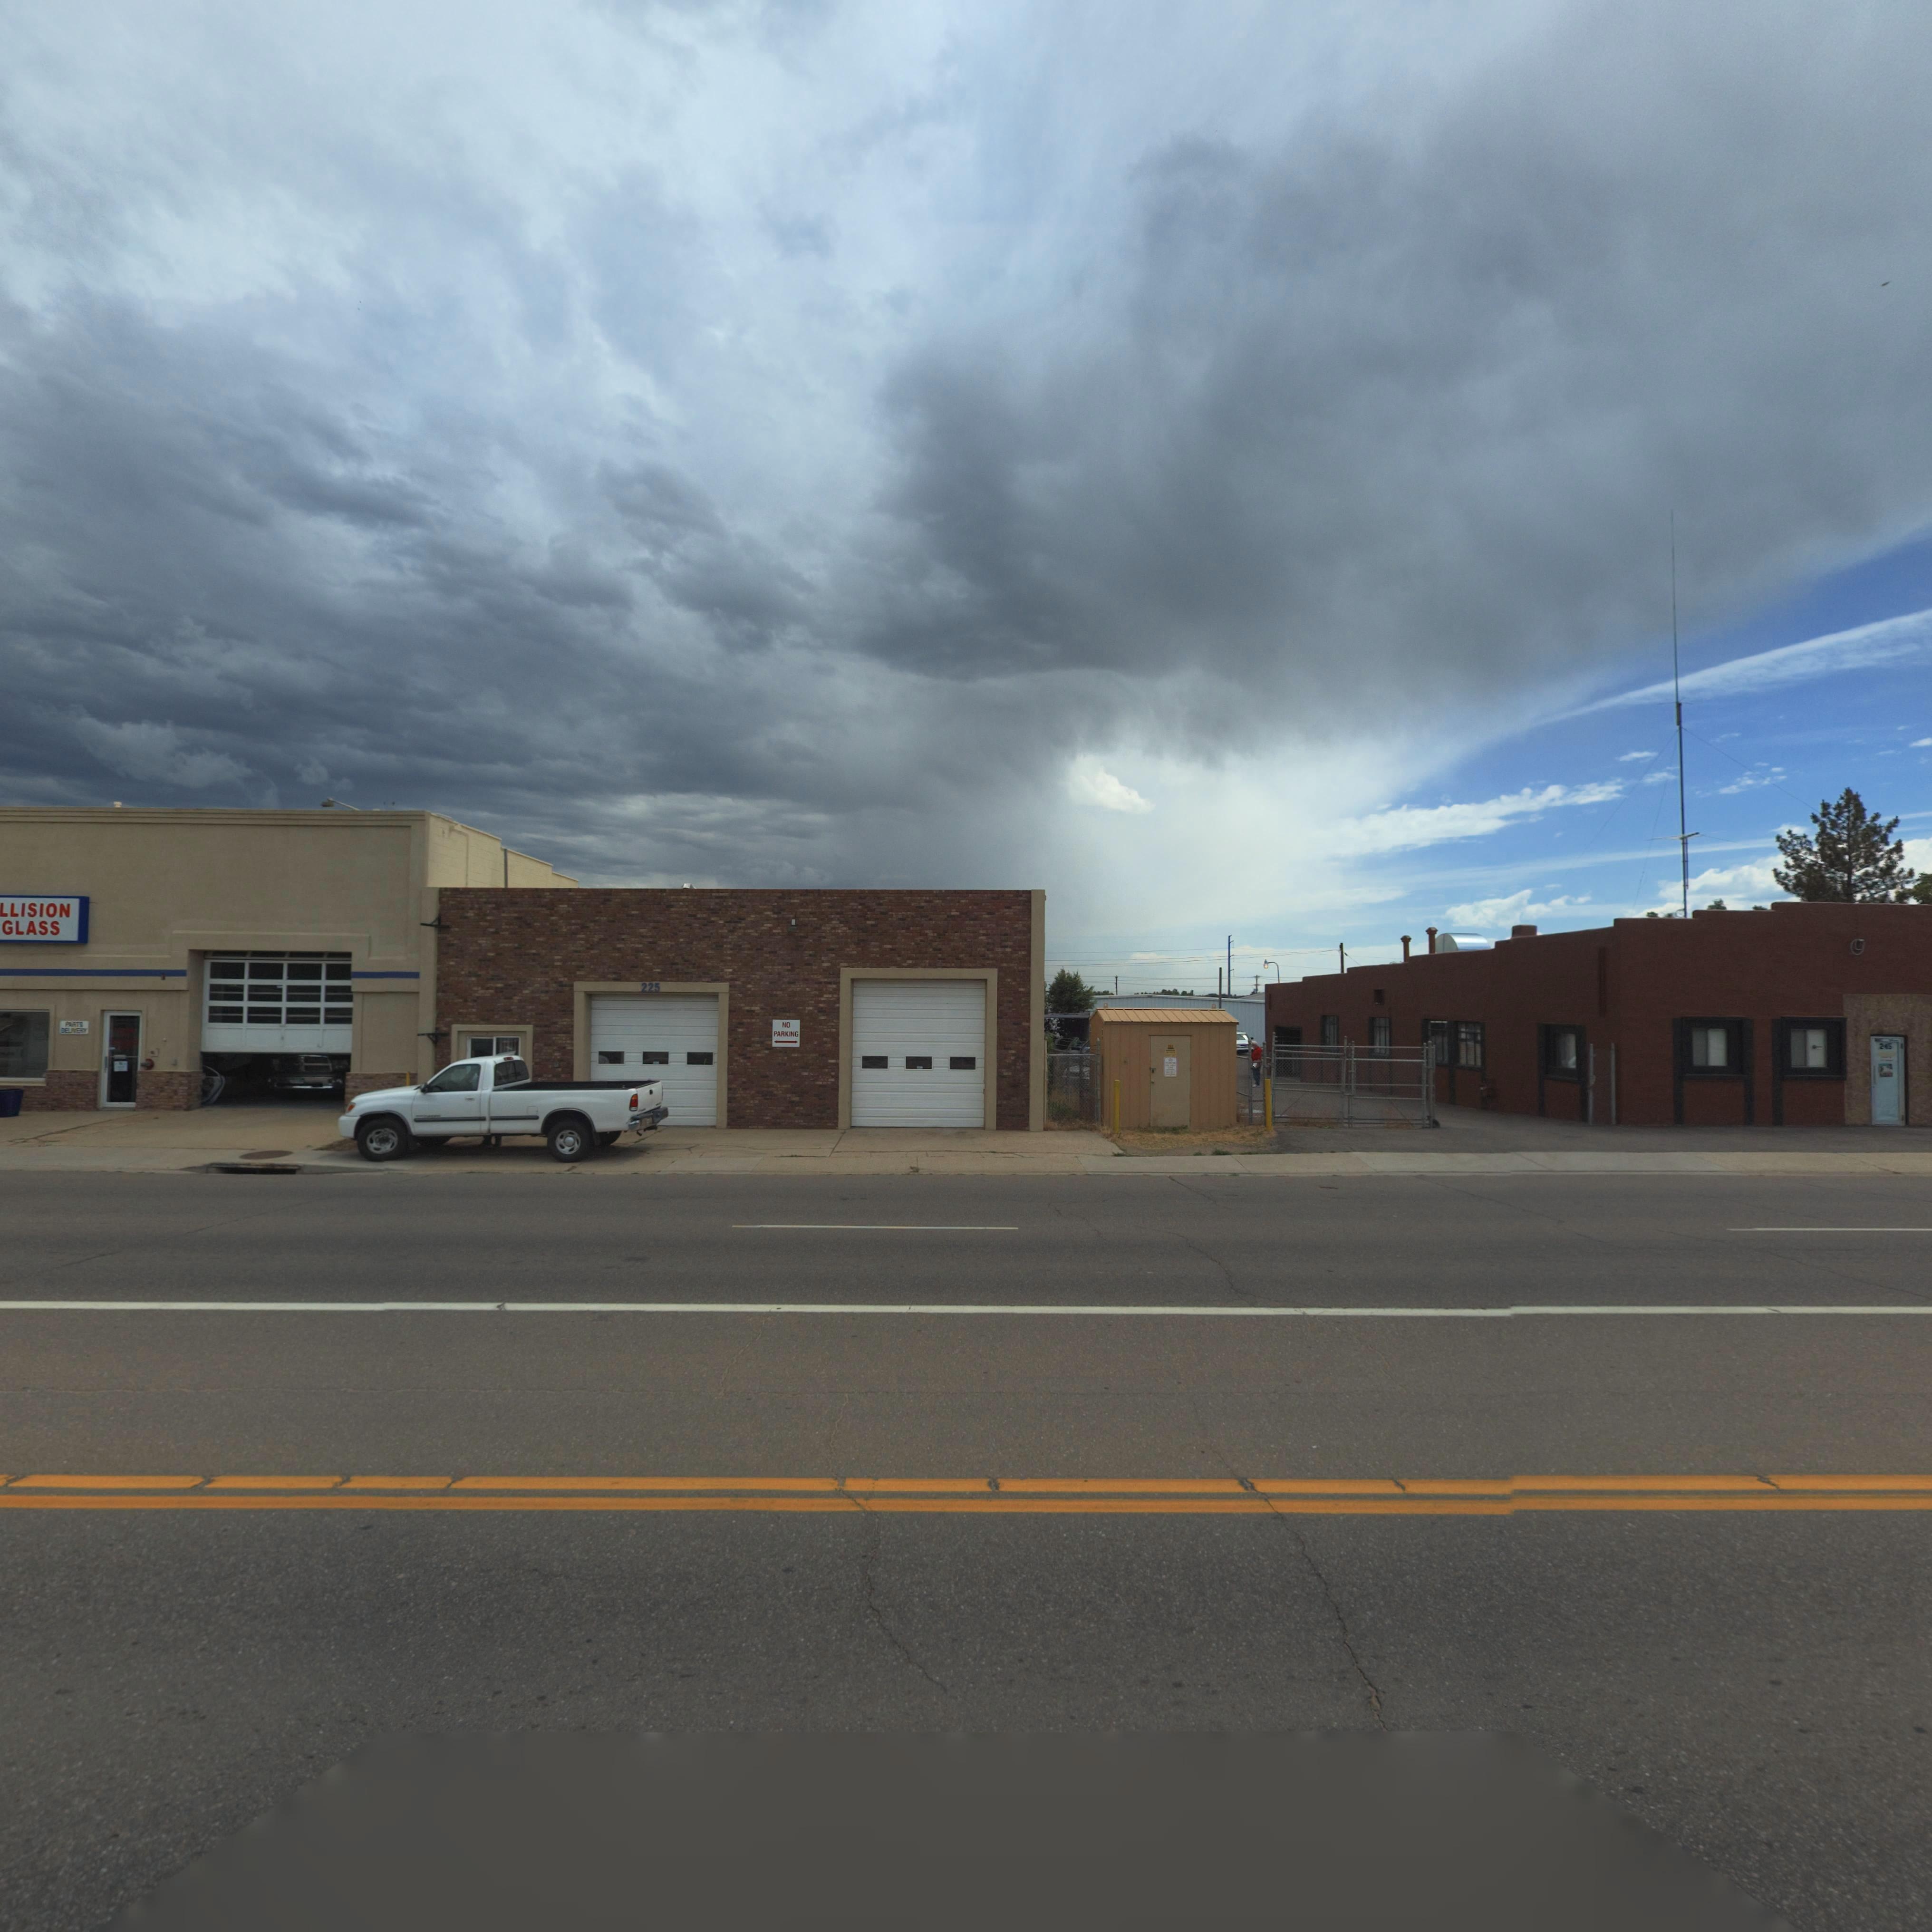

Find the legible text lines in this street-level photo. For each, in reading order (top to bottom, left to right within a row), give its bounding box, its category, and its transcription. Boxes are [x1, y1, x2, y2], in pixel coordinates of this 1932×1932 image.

[9, 902, 71, 918] BusinessName: LISION
[1, 919, 61, 936] BusinessName: GLASS
[641, 982, 660, 992] StreetNumber: 225
[1879, 1042, 1893, 1049] StreetNumber: 245